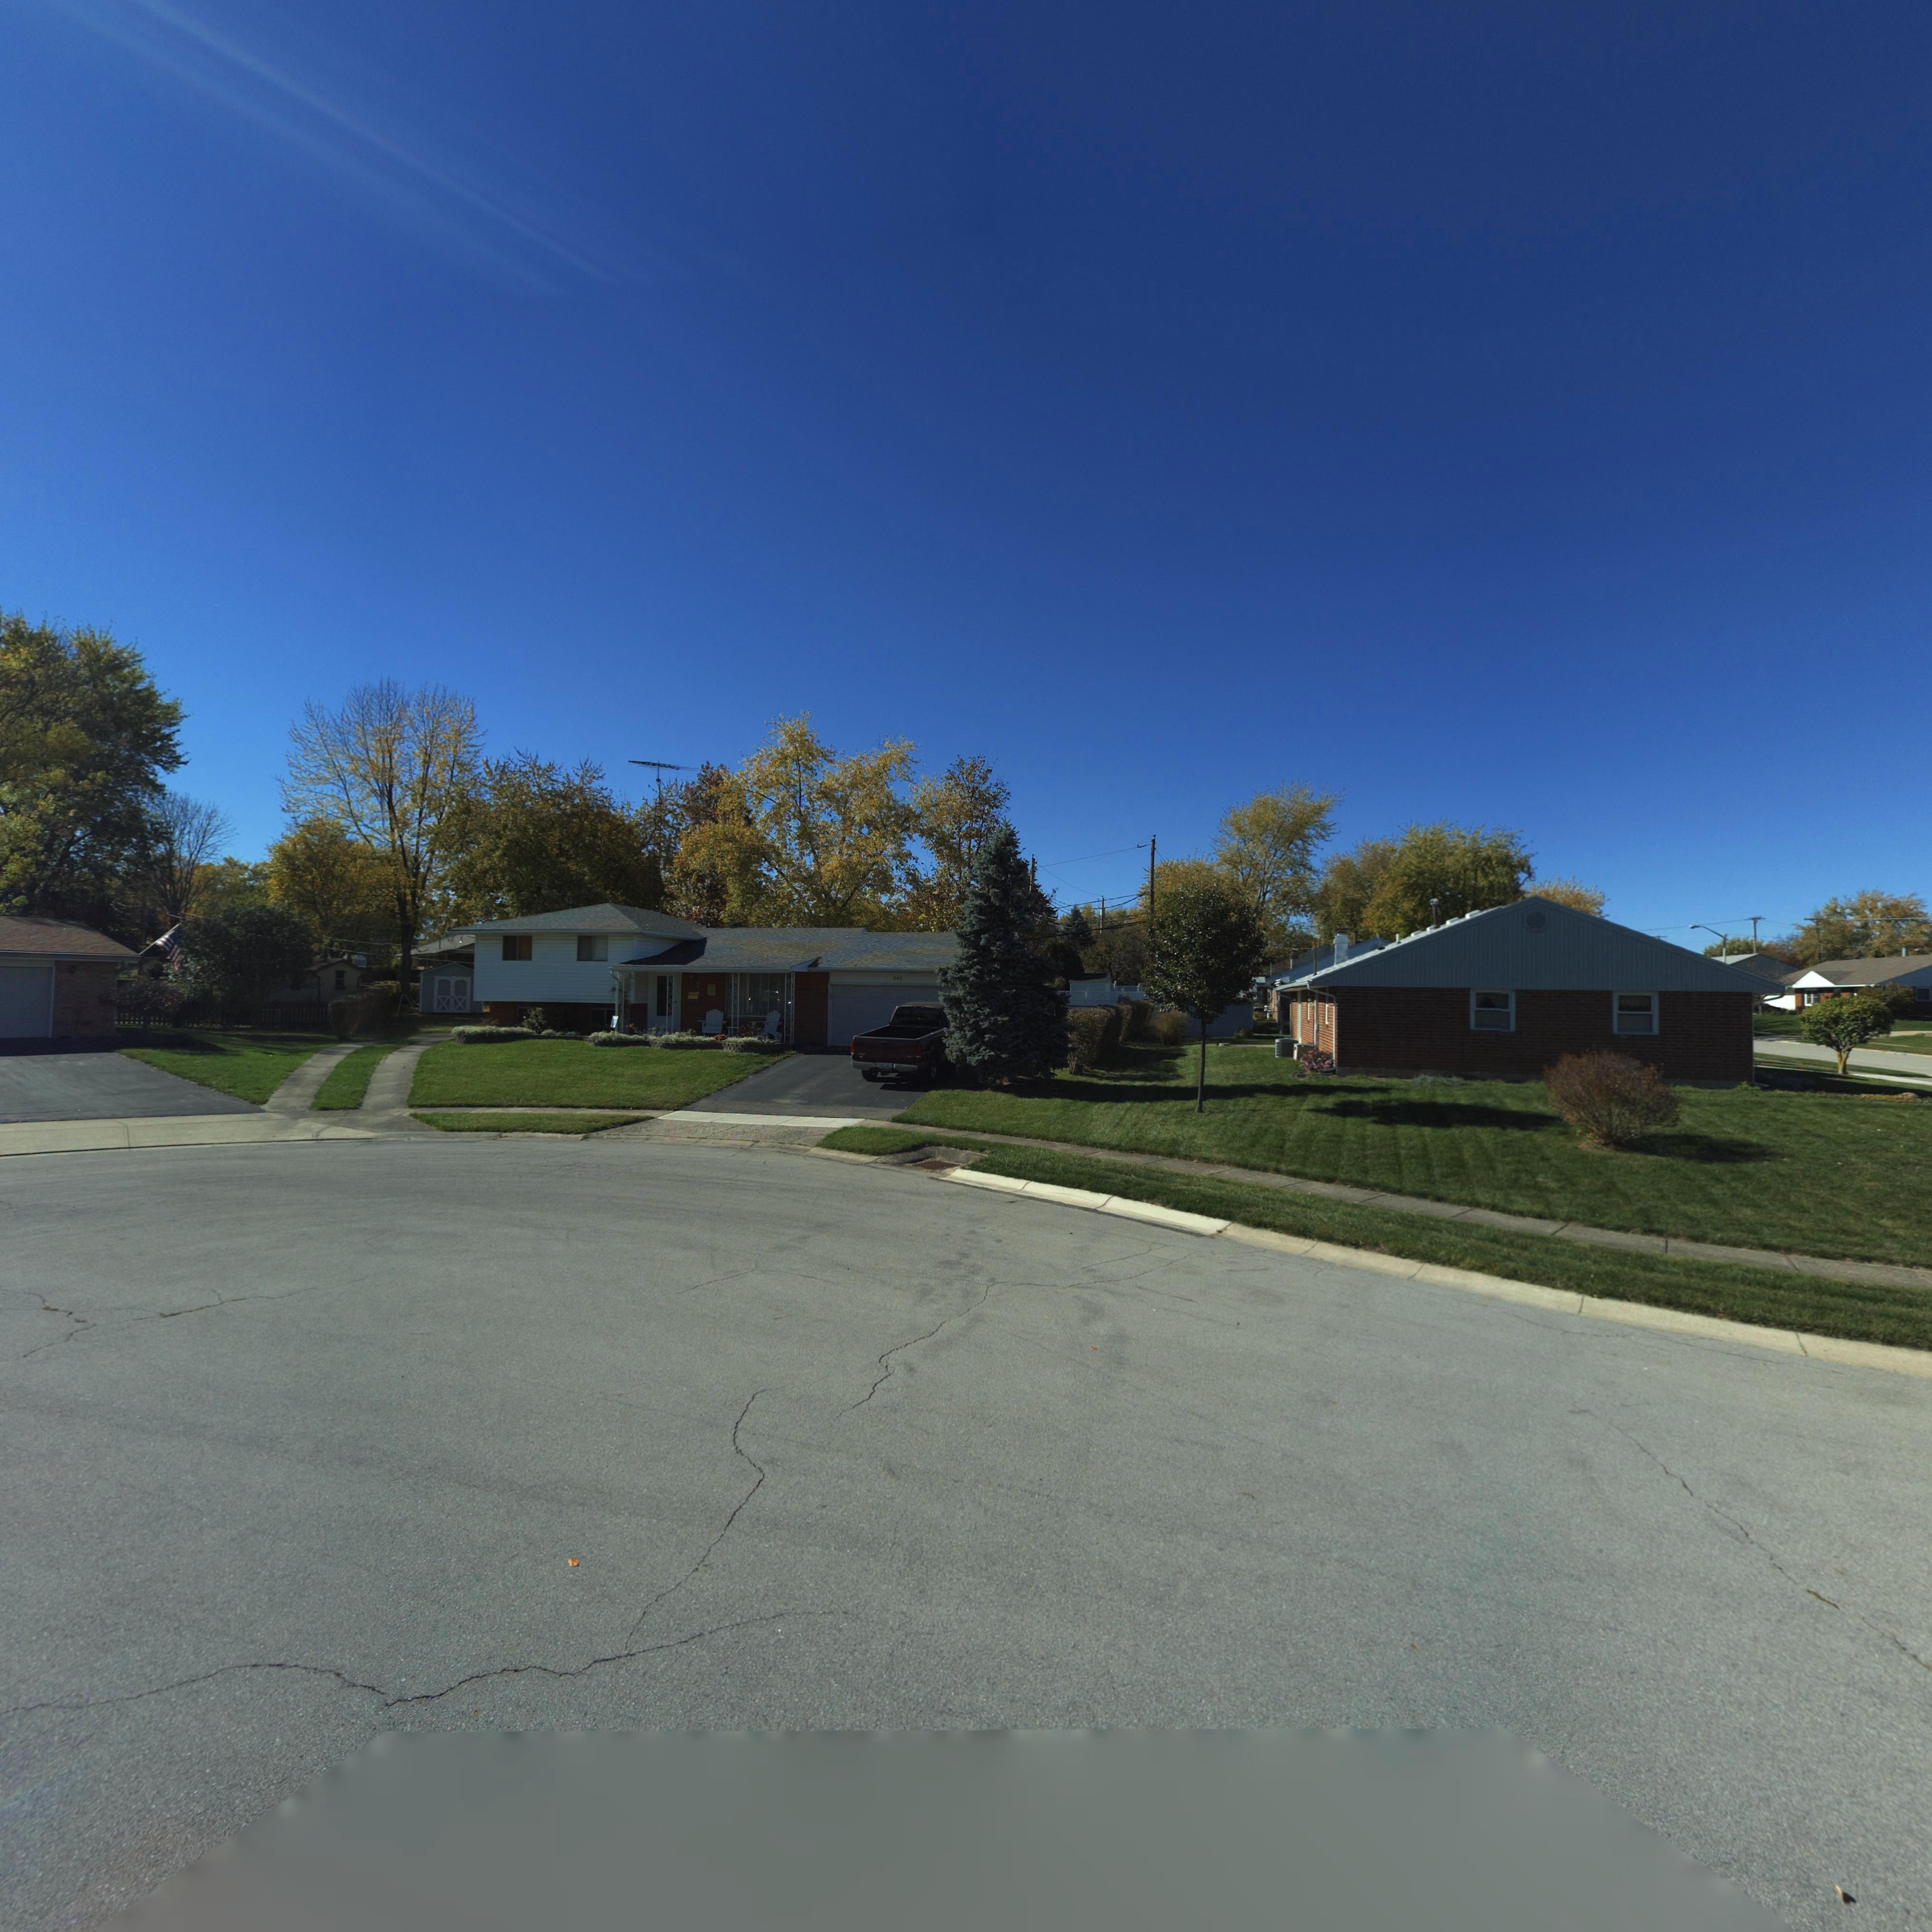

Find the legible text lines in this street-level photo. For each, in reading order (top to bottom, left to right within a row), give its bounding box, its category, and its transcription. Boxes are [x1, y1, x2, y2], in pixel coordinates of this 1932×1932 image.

[893, 976, 902, 980] StreetNumber: 603